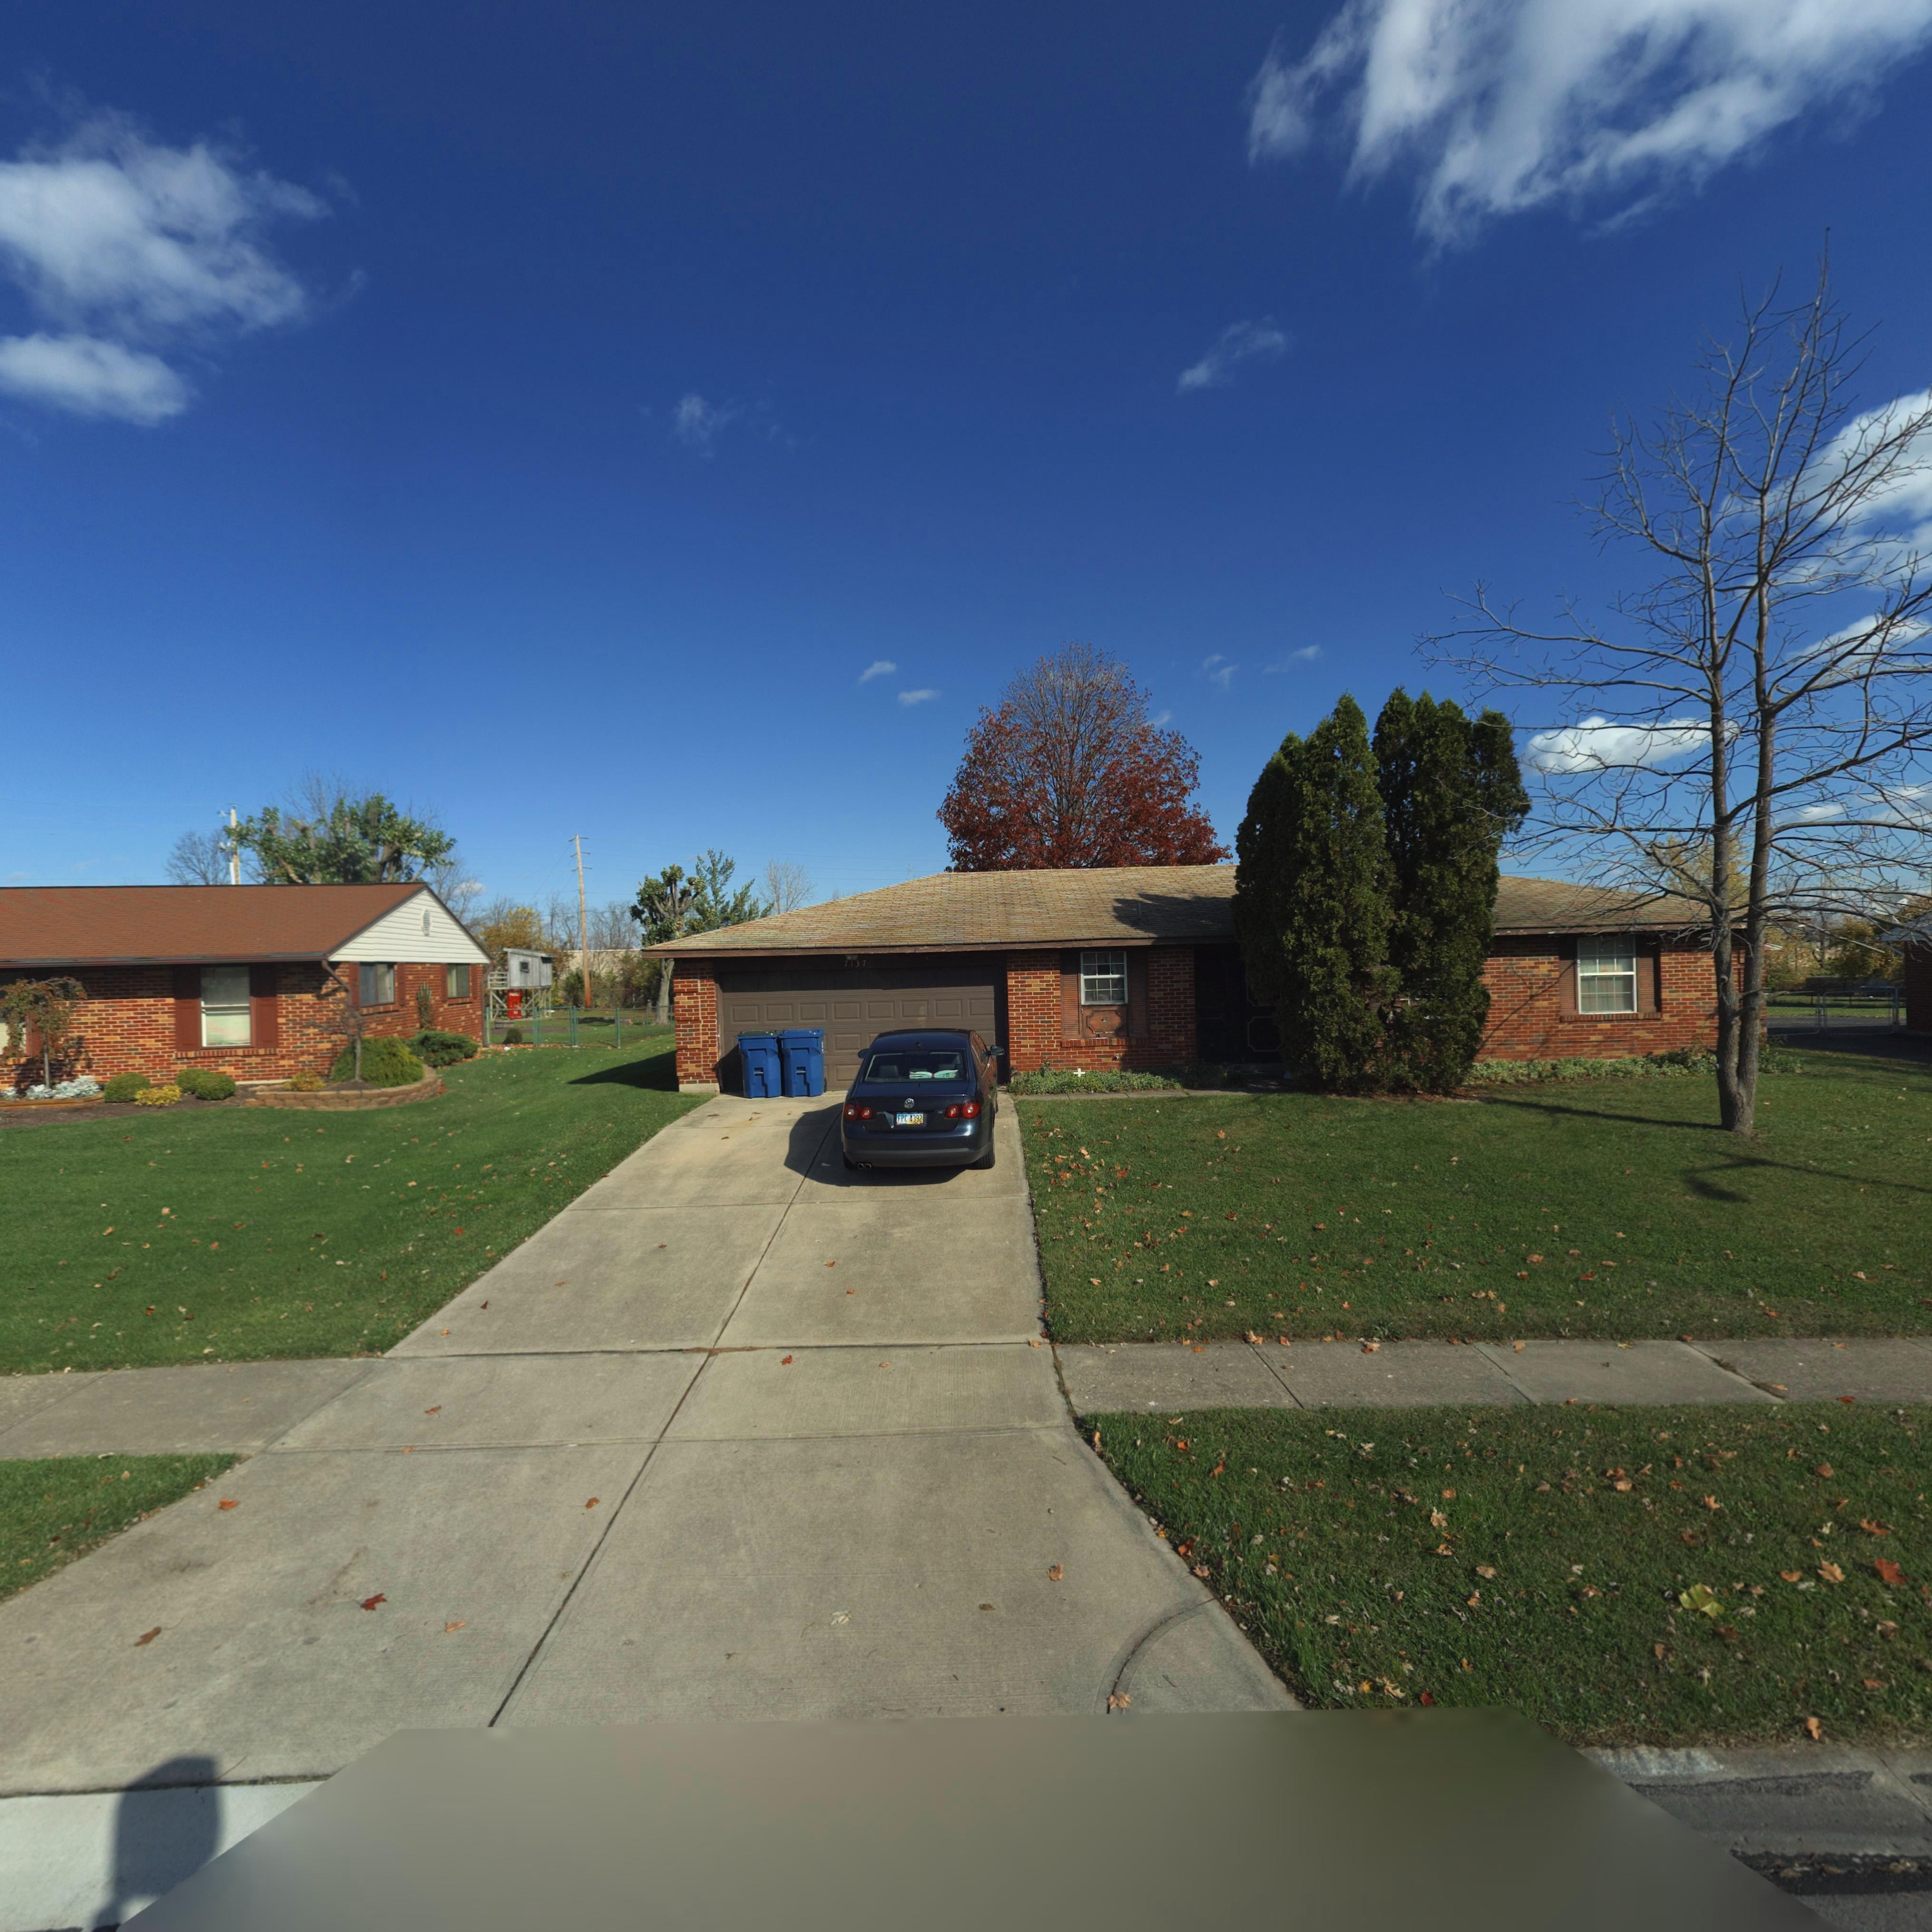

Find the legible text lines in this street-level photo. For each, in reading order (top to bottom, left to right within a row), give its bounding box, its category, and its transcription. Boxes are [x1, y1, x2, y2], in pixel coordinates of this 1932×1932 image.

[843, 959, 867, 968] StreetNumber: 7137